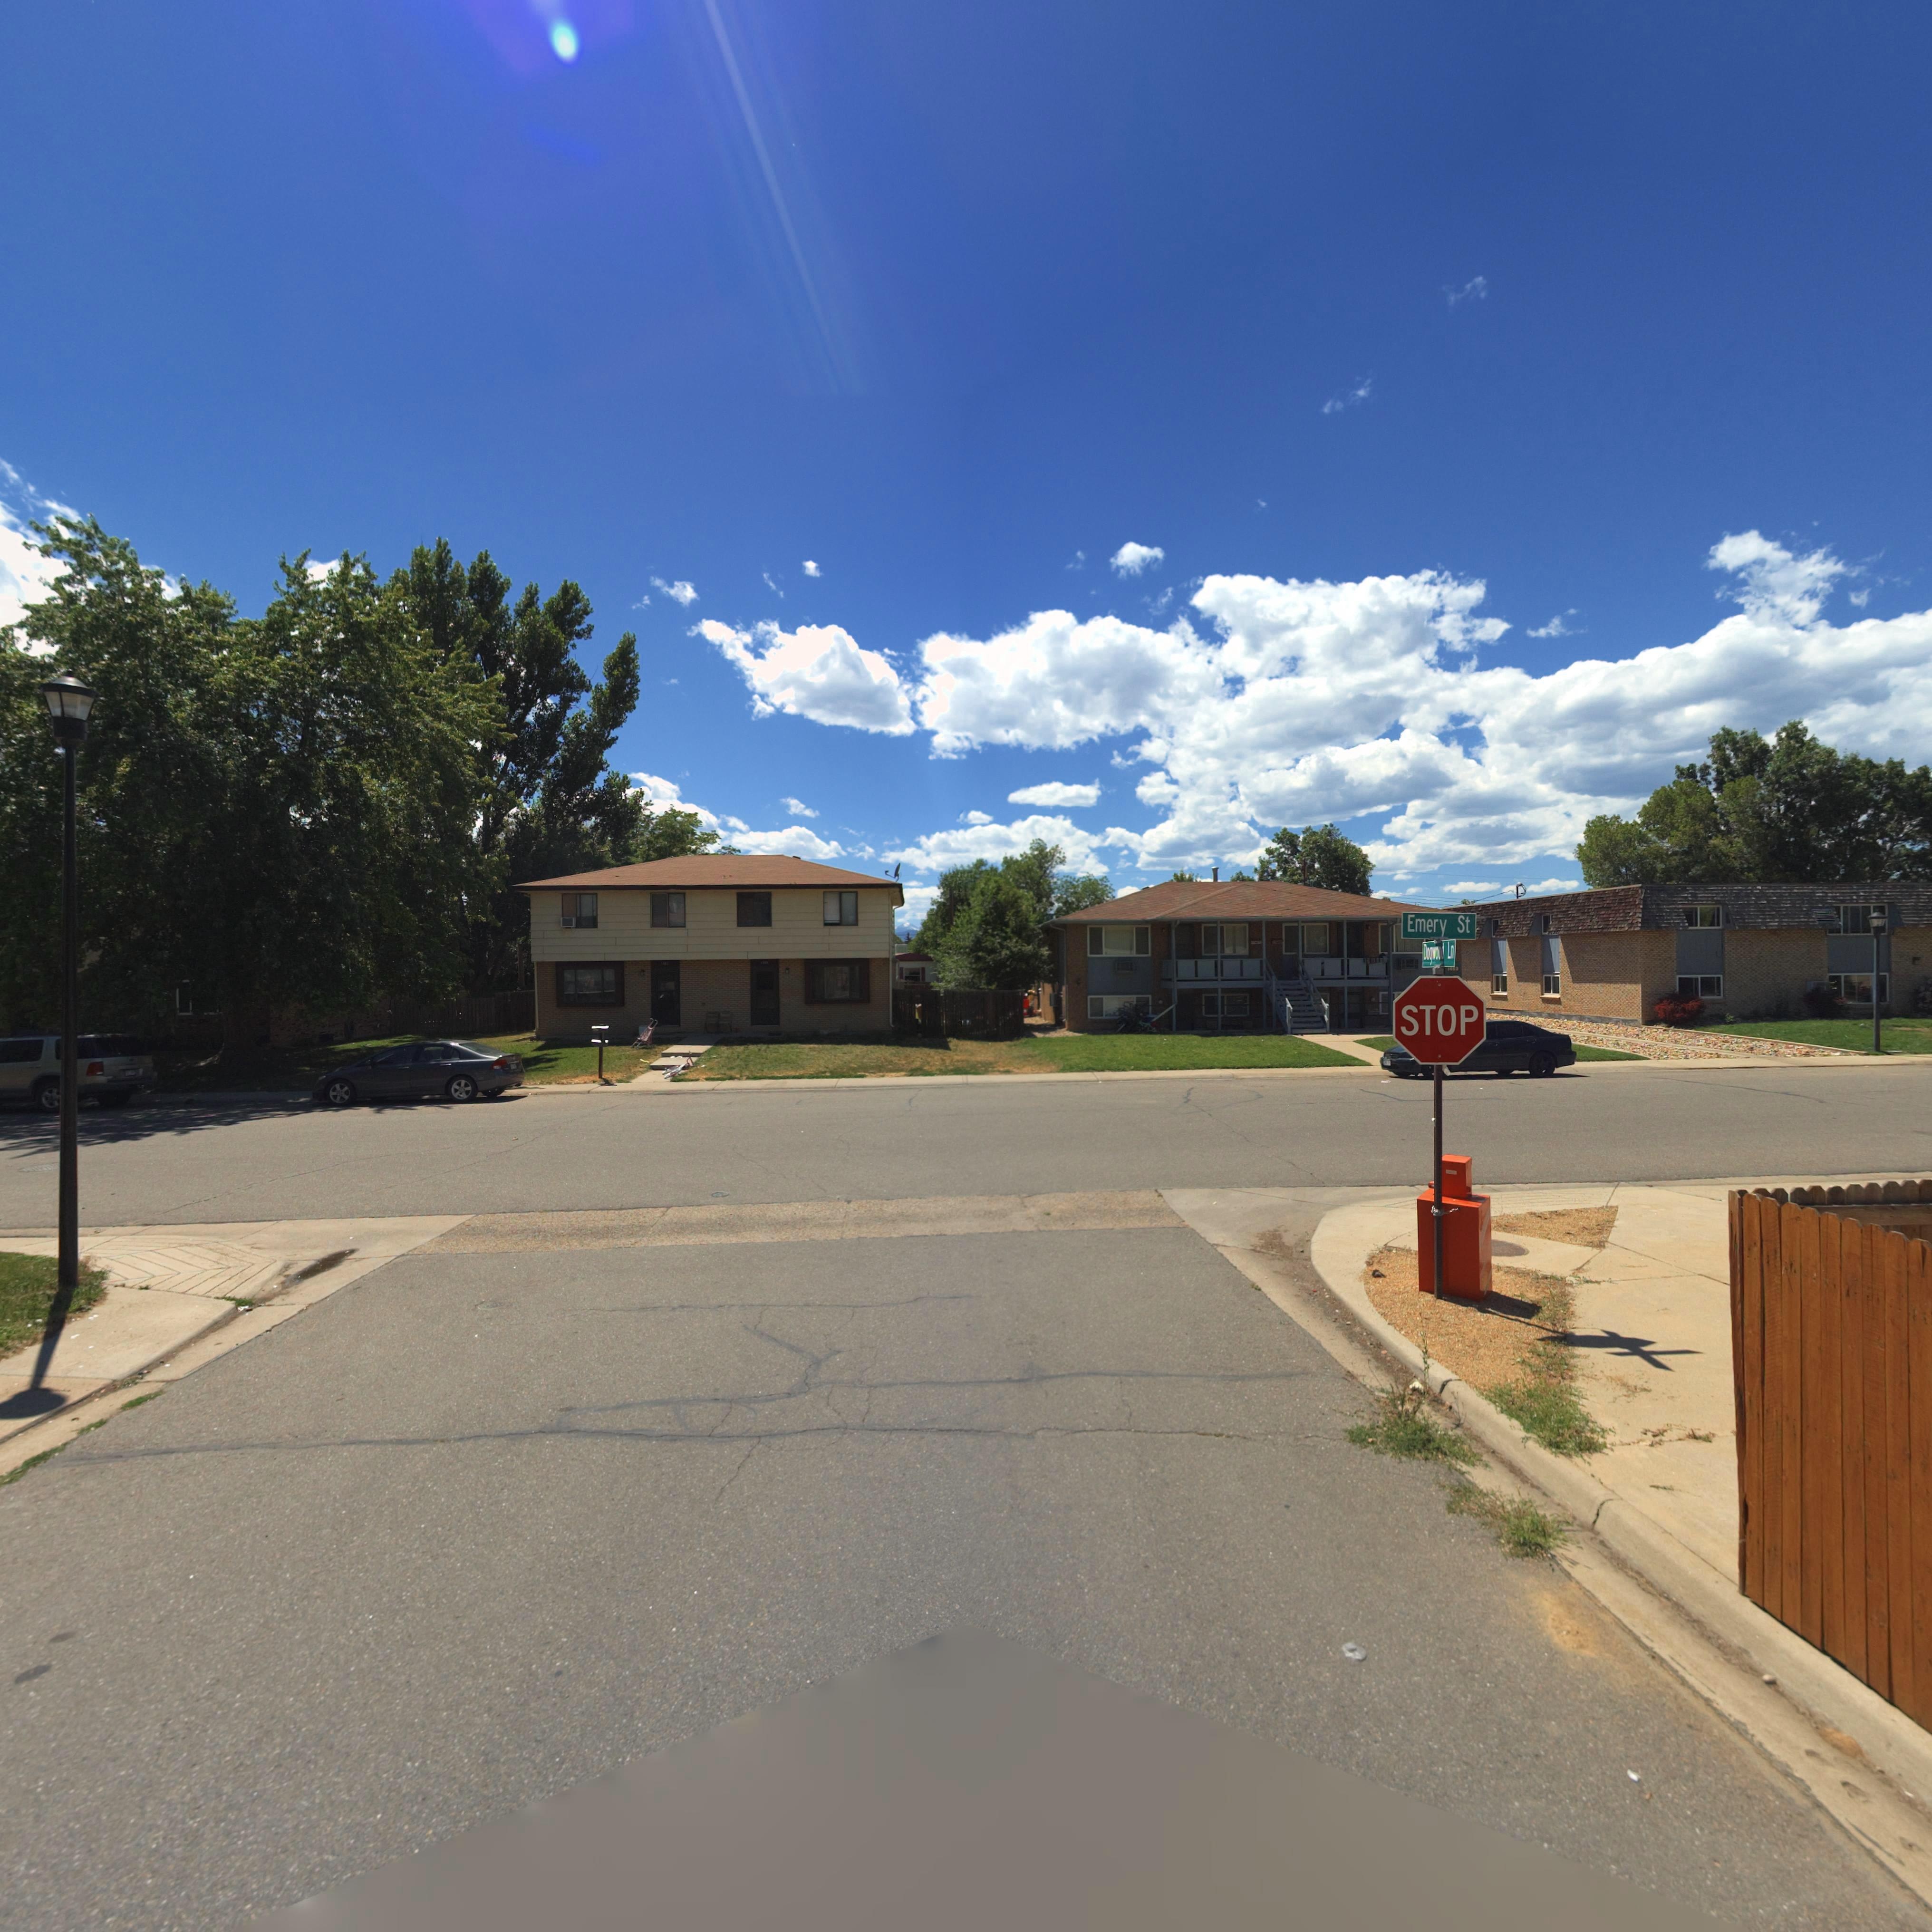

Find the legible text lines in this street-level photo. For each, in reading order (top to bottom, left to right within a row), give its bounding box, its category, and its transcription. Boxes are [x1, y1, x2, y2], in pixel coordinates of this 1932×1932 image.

[1407, 914, 1470, 937] StreetName: Emery St
[1422, 941, 1454, 966] StreetName: Dogwood Ln
[660, 961, 669, 965] StreetNumber: 1**7
[760, 961, 768, 964] StreetNumber: 1359
[1447, 966, 1459, 971] StreetNumber: 1403